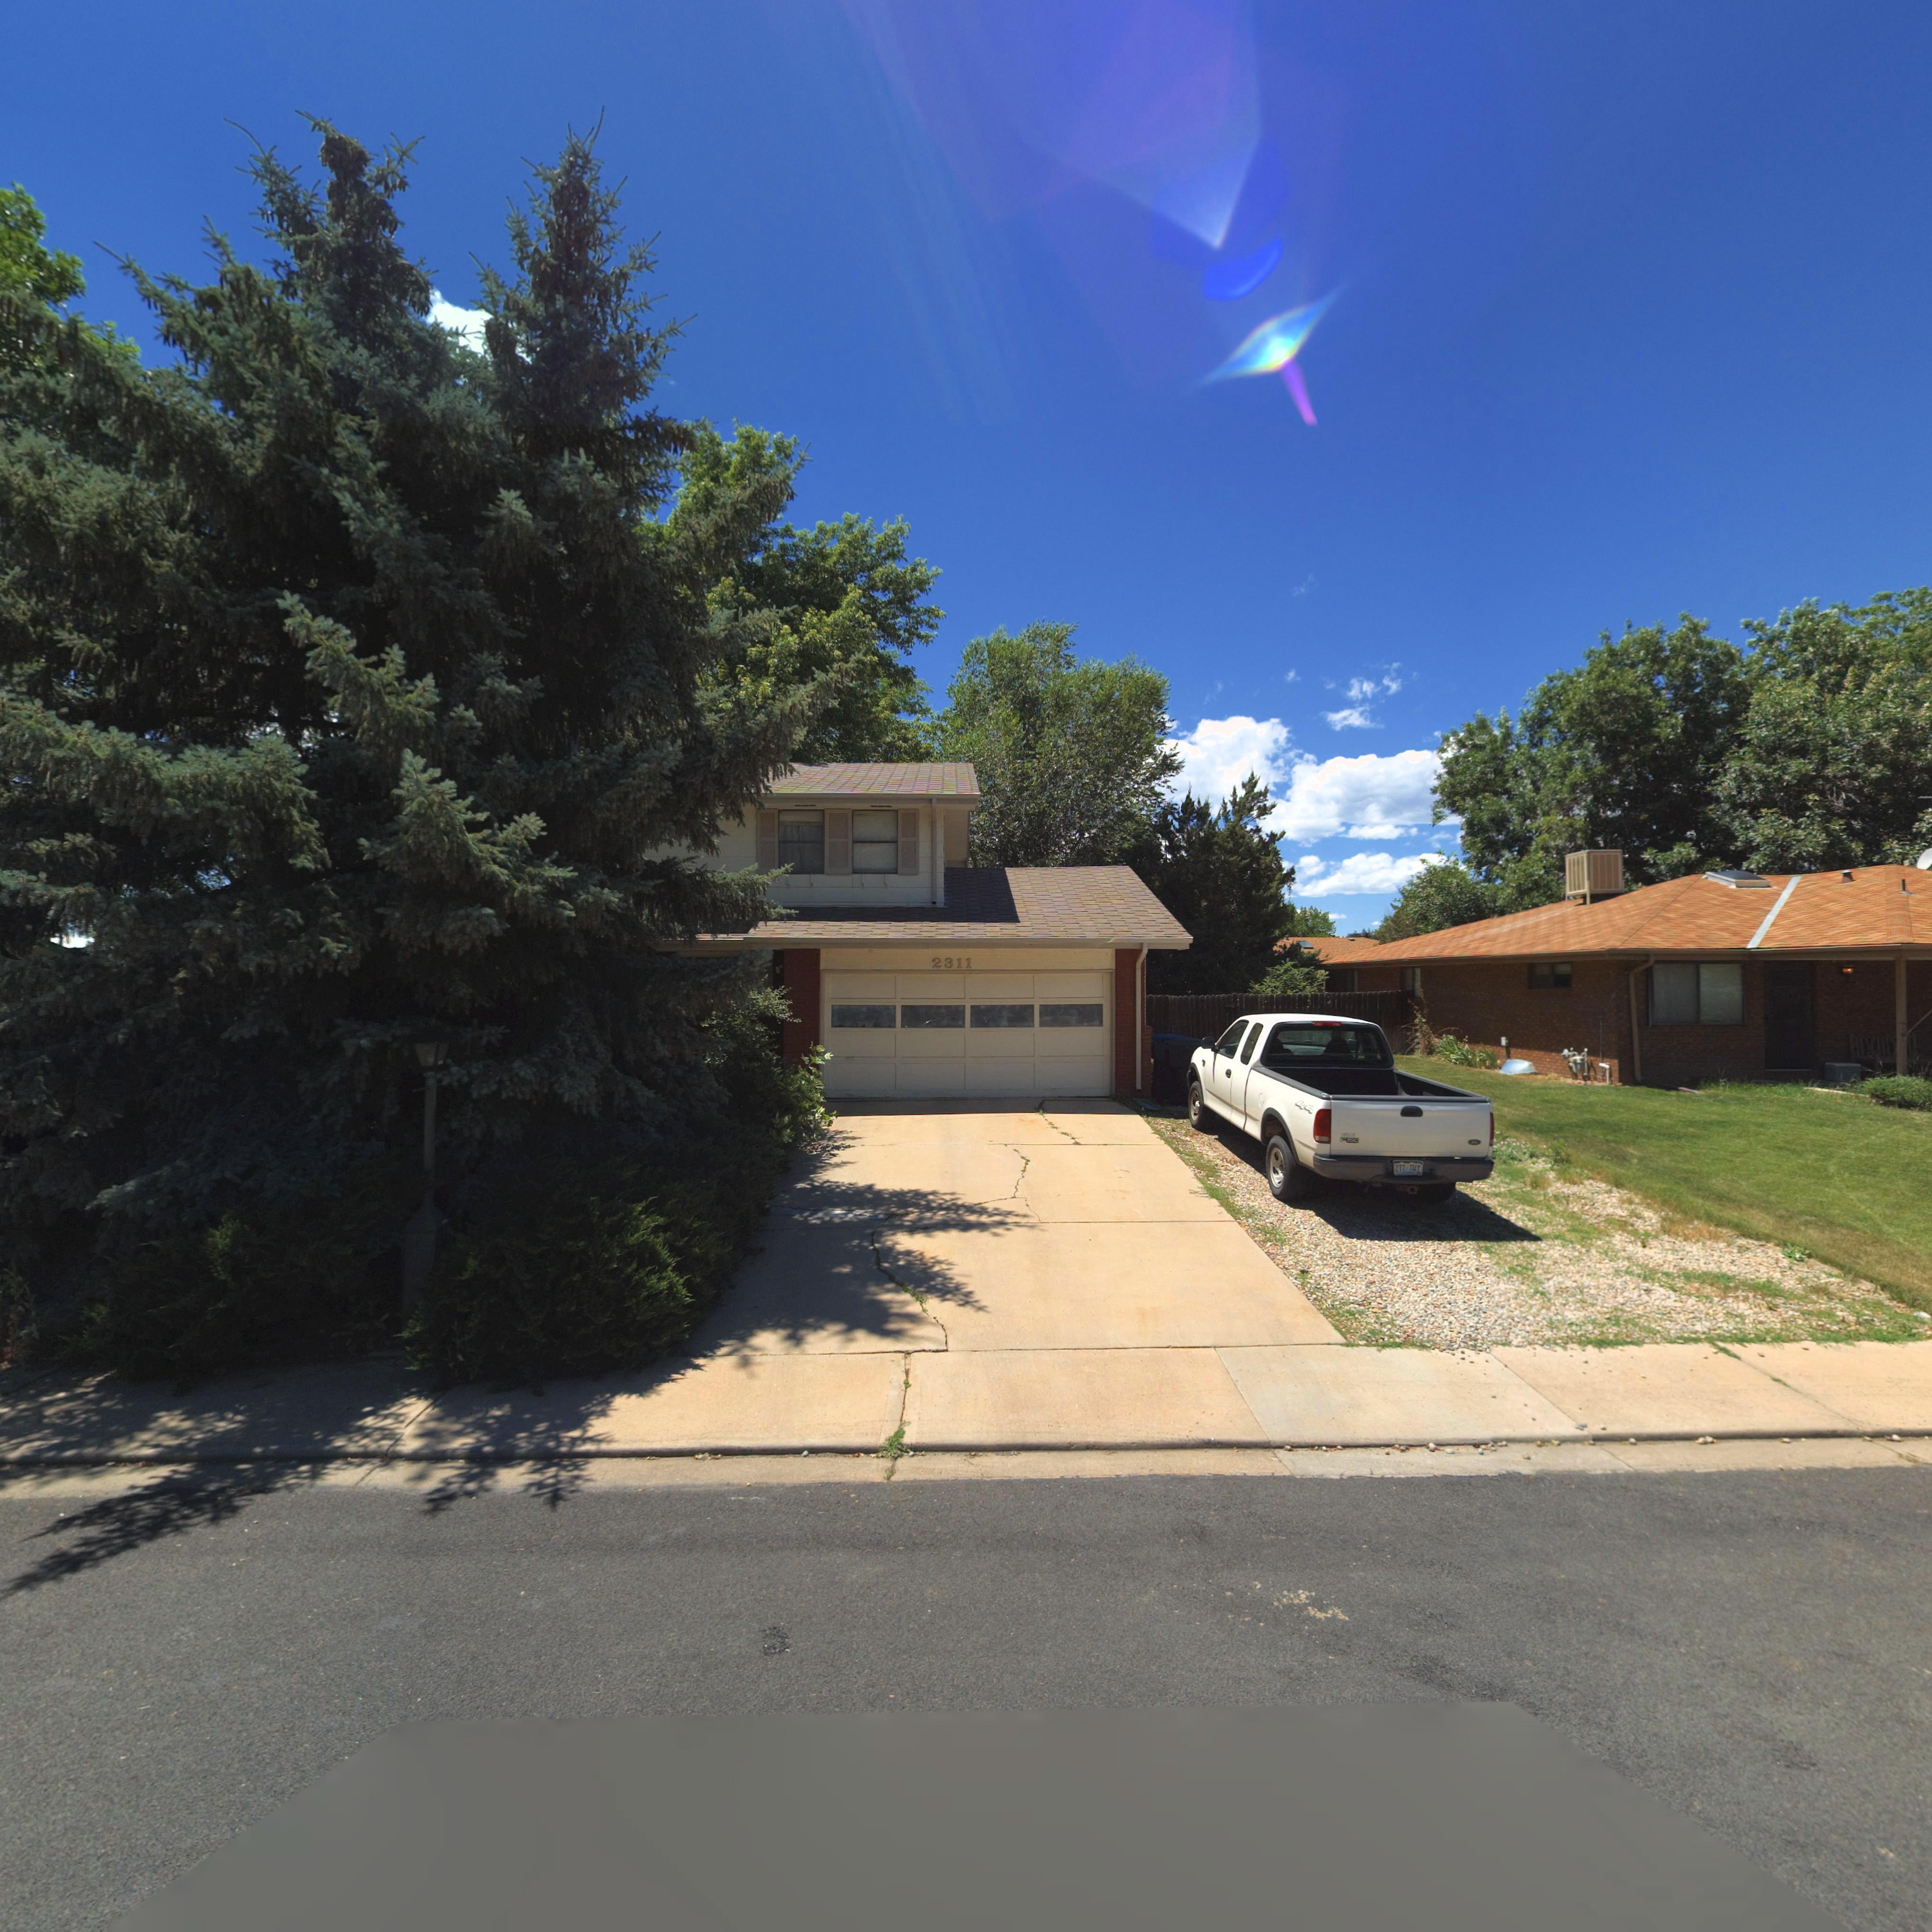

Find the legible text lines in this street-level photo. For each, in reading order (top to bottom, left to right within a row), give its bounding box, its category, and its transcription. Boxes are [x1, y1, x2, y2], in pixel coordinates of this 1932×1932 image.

[932, 956, 972, 968] StreetNumber: 2311